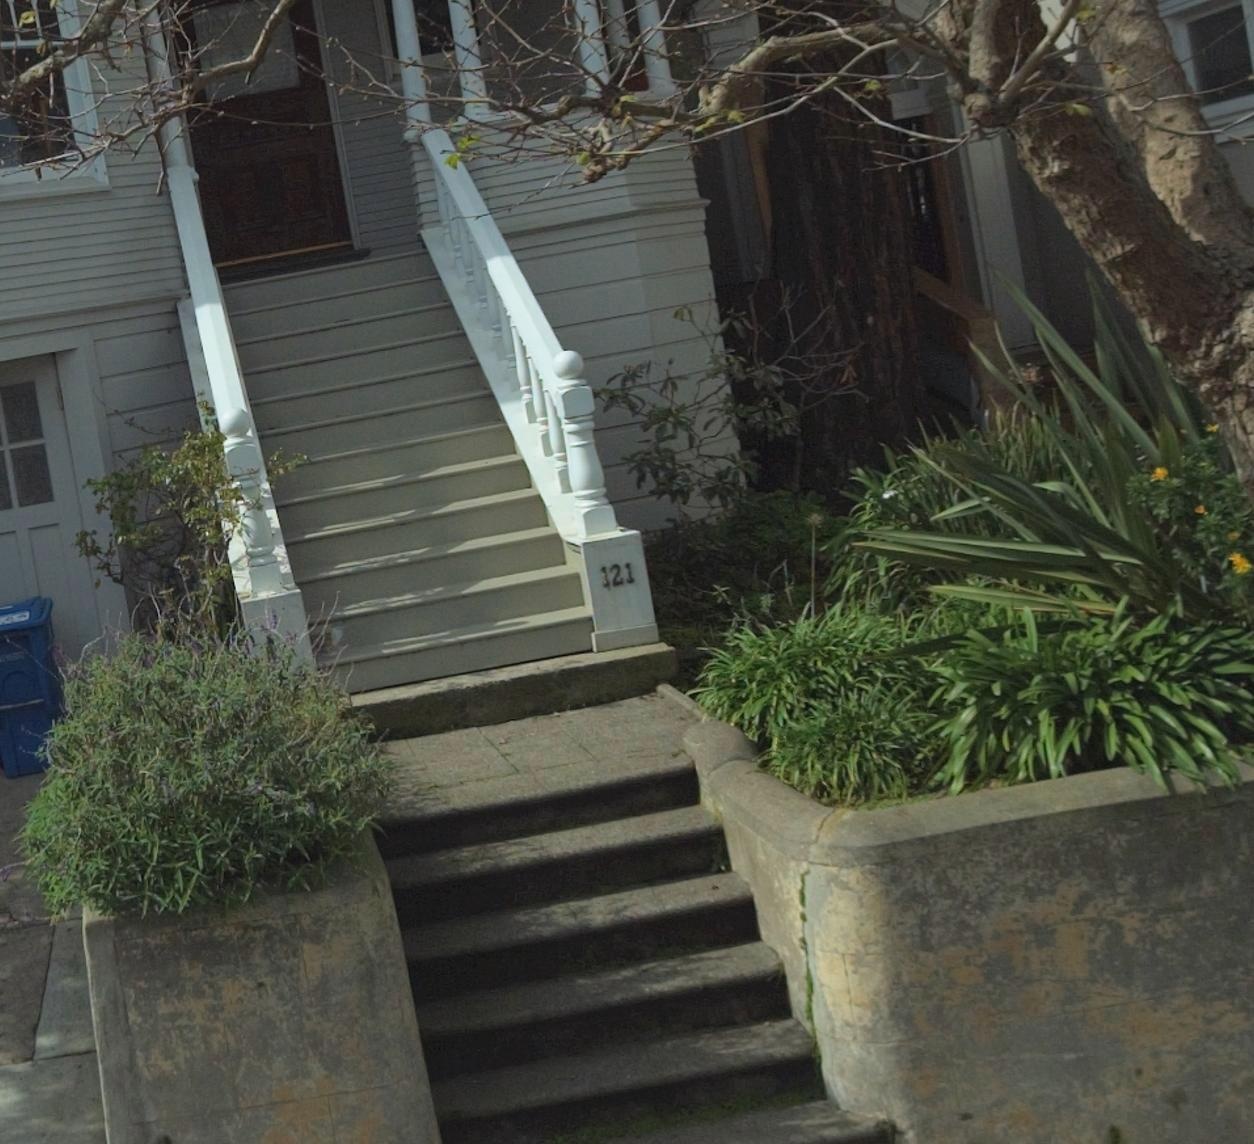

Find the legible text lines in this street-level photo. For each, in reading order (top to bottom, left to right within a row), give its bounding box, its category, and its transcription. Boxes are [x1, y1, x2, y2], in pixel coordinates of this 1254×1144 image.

[598, 559, 638, 591] StreetNumber: 121